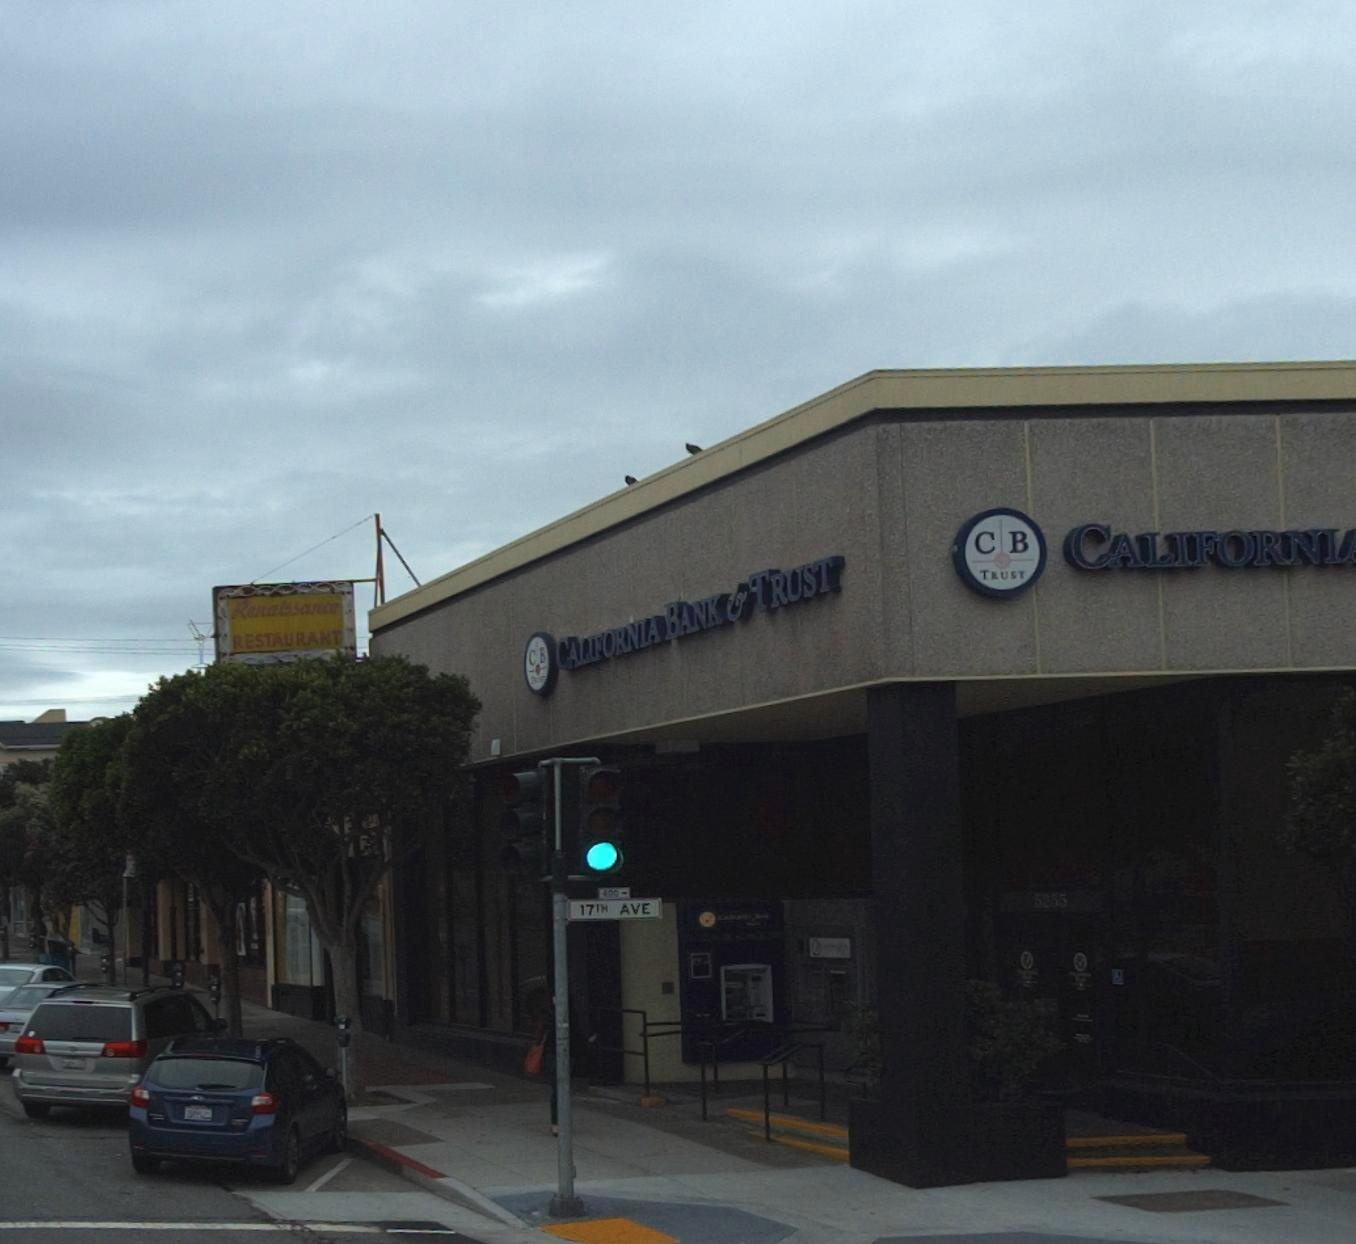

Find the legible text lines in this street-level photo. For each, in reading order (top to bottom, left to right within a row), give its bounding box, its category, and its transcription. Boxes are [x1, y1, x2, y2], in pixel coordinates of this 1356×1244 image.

[971, 528, 1033, 557] None: C*B
[1065, 519, 1345, 573] BusinessName: CALIFORNI
[977, 567, 1027, 583] None: TRUST
[226, 598, 343, 624] BusinessName: Rena**san**
[553, 552, 838, 676] BusinessName: CALIFORNIA BANK * TRUST
[231, 627, 345, 654] BusinessName: RESTAURANT
[525, 644, 548, 669] None: C*B
[599, 887, 629, 900] StreetNumberRange: 400->
[577, 900, 653, 918] StreetName: 17TH AVE
[1031, 890, 1071, 911] StreetNumber: 5235